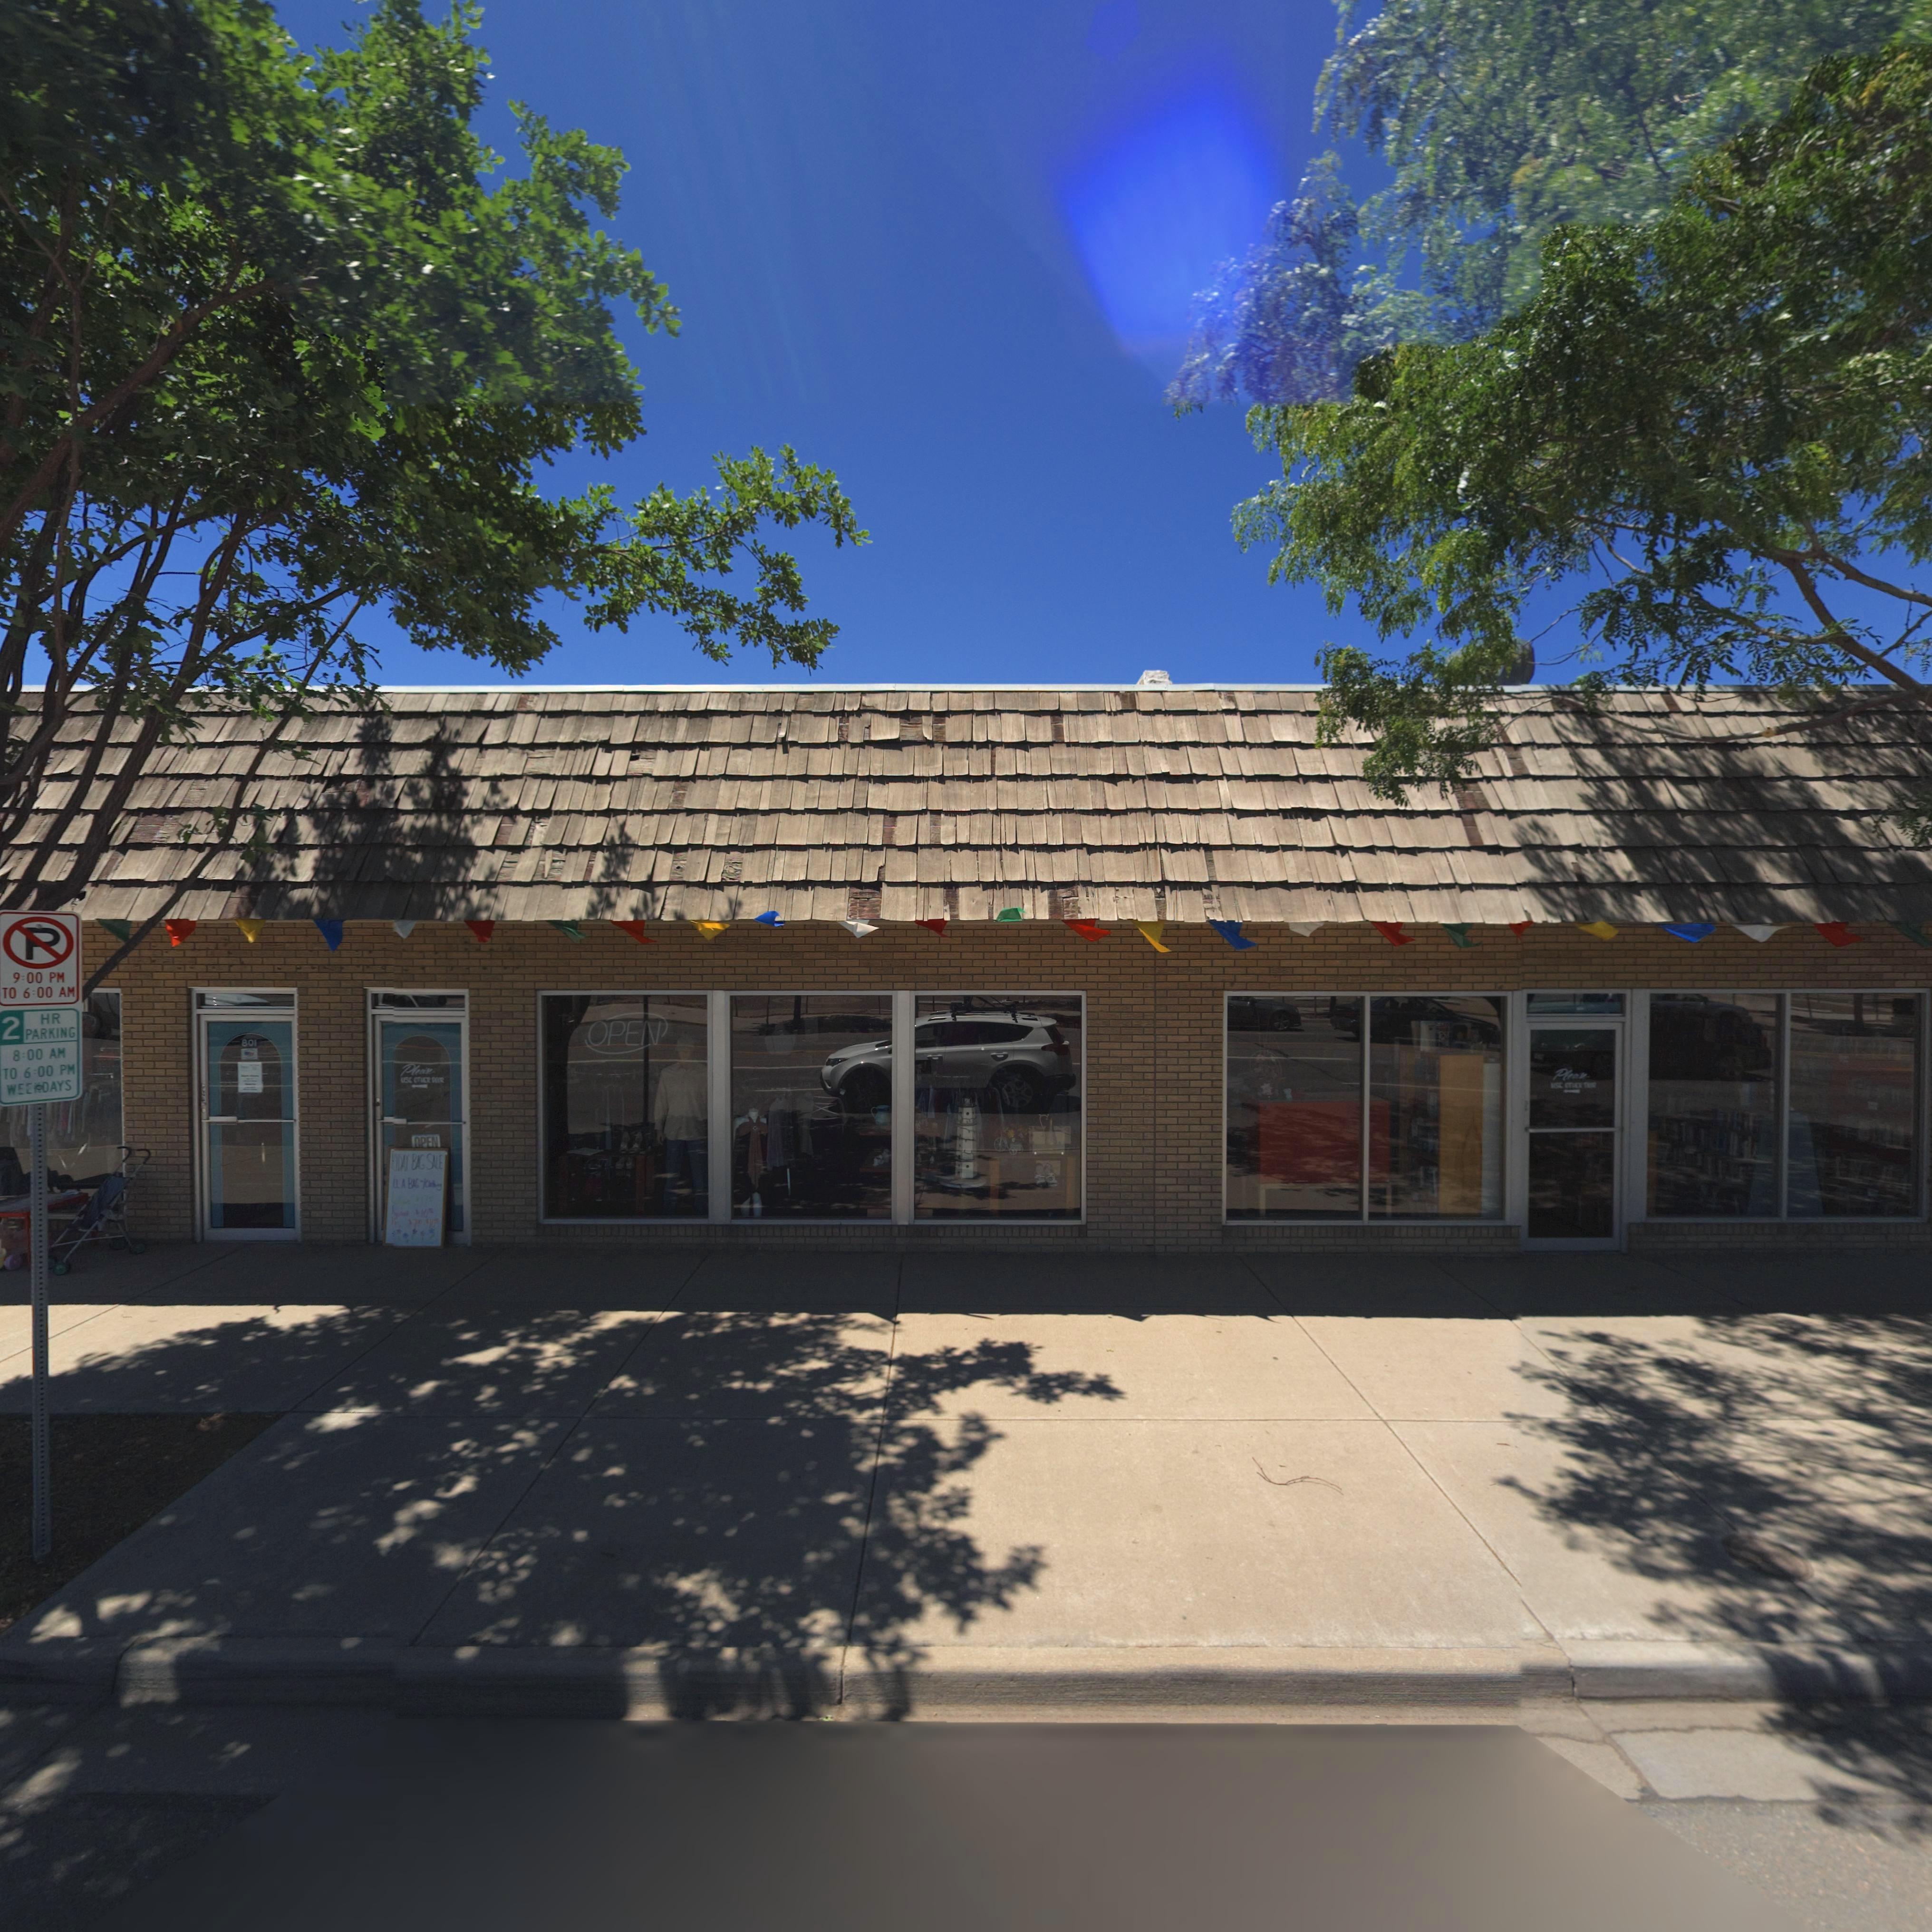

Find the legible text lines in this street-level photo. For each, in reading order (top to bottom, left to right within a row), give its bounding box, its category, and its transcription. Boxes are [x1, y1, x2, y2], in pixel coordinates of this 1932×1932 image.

[241, 1039, 257, 1046] StreetNumber: 801